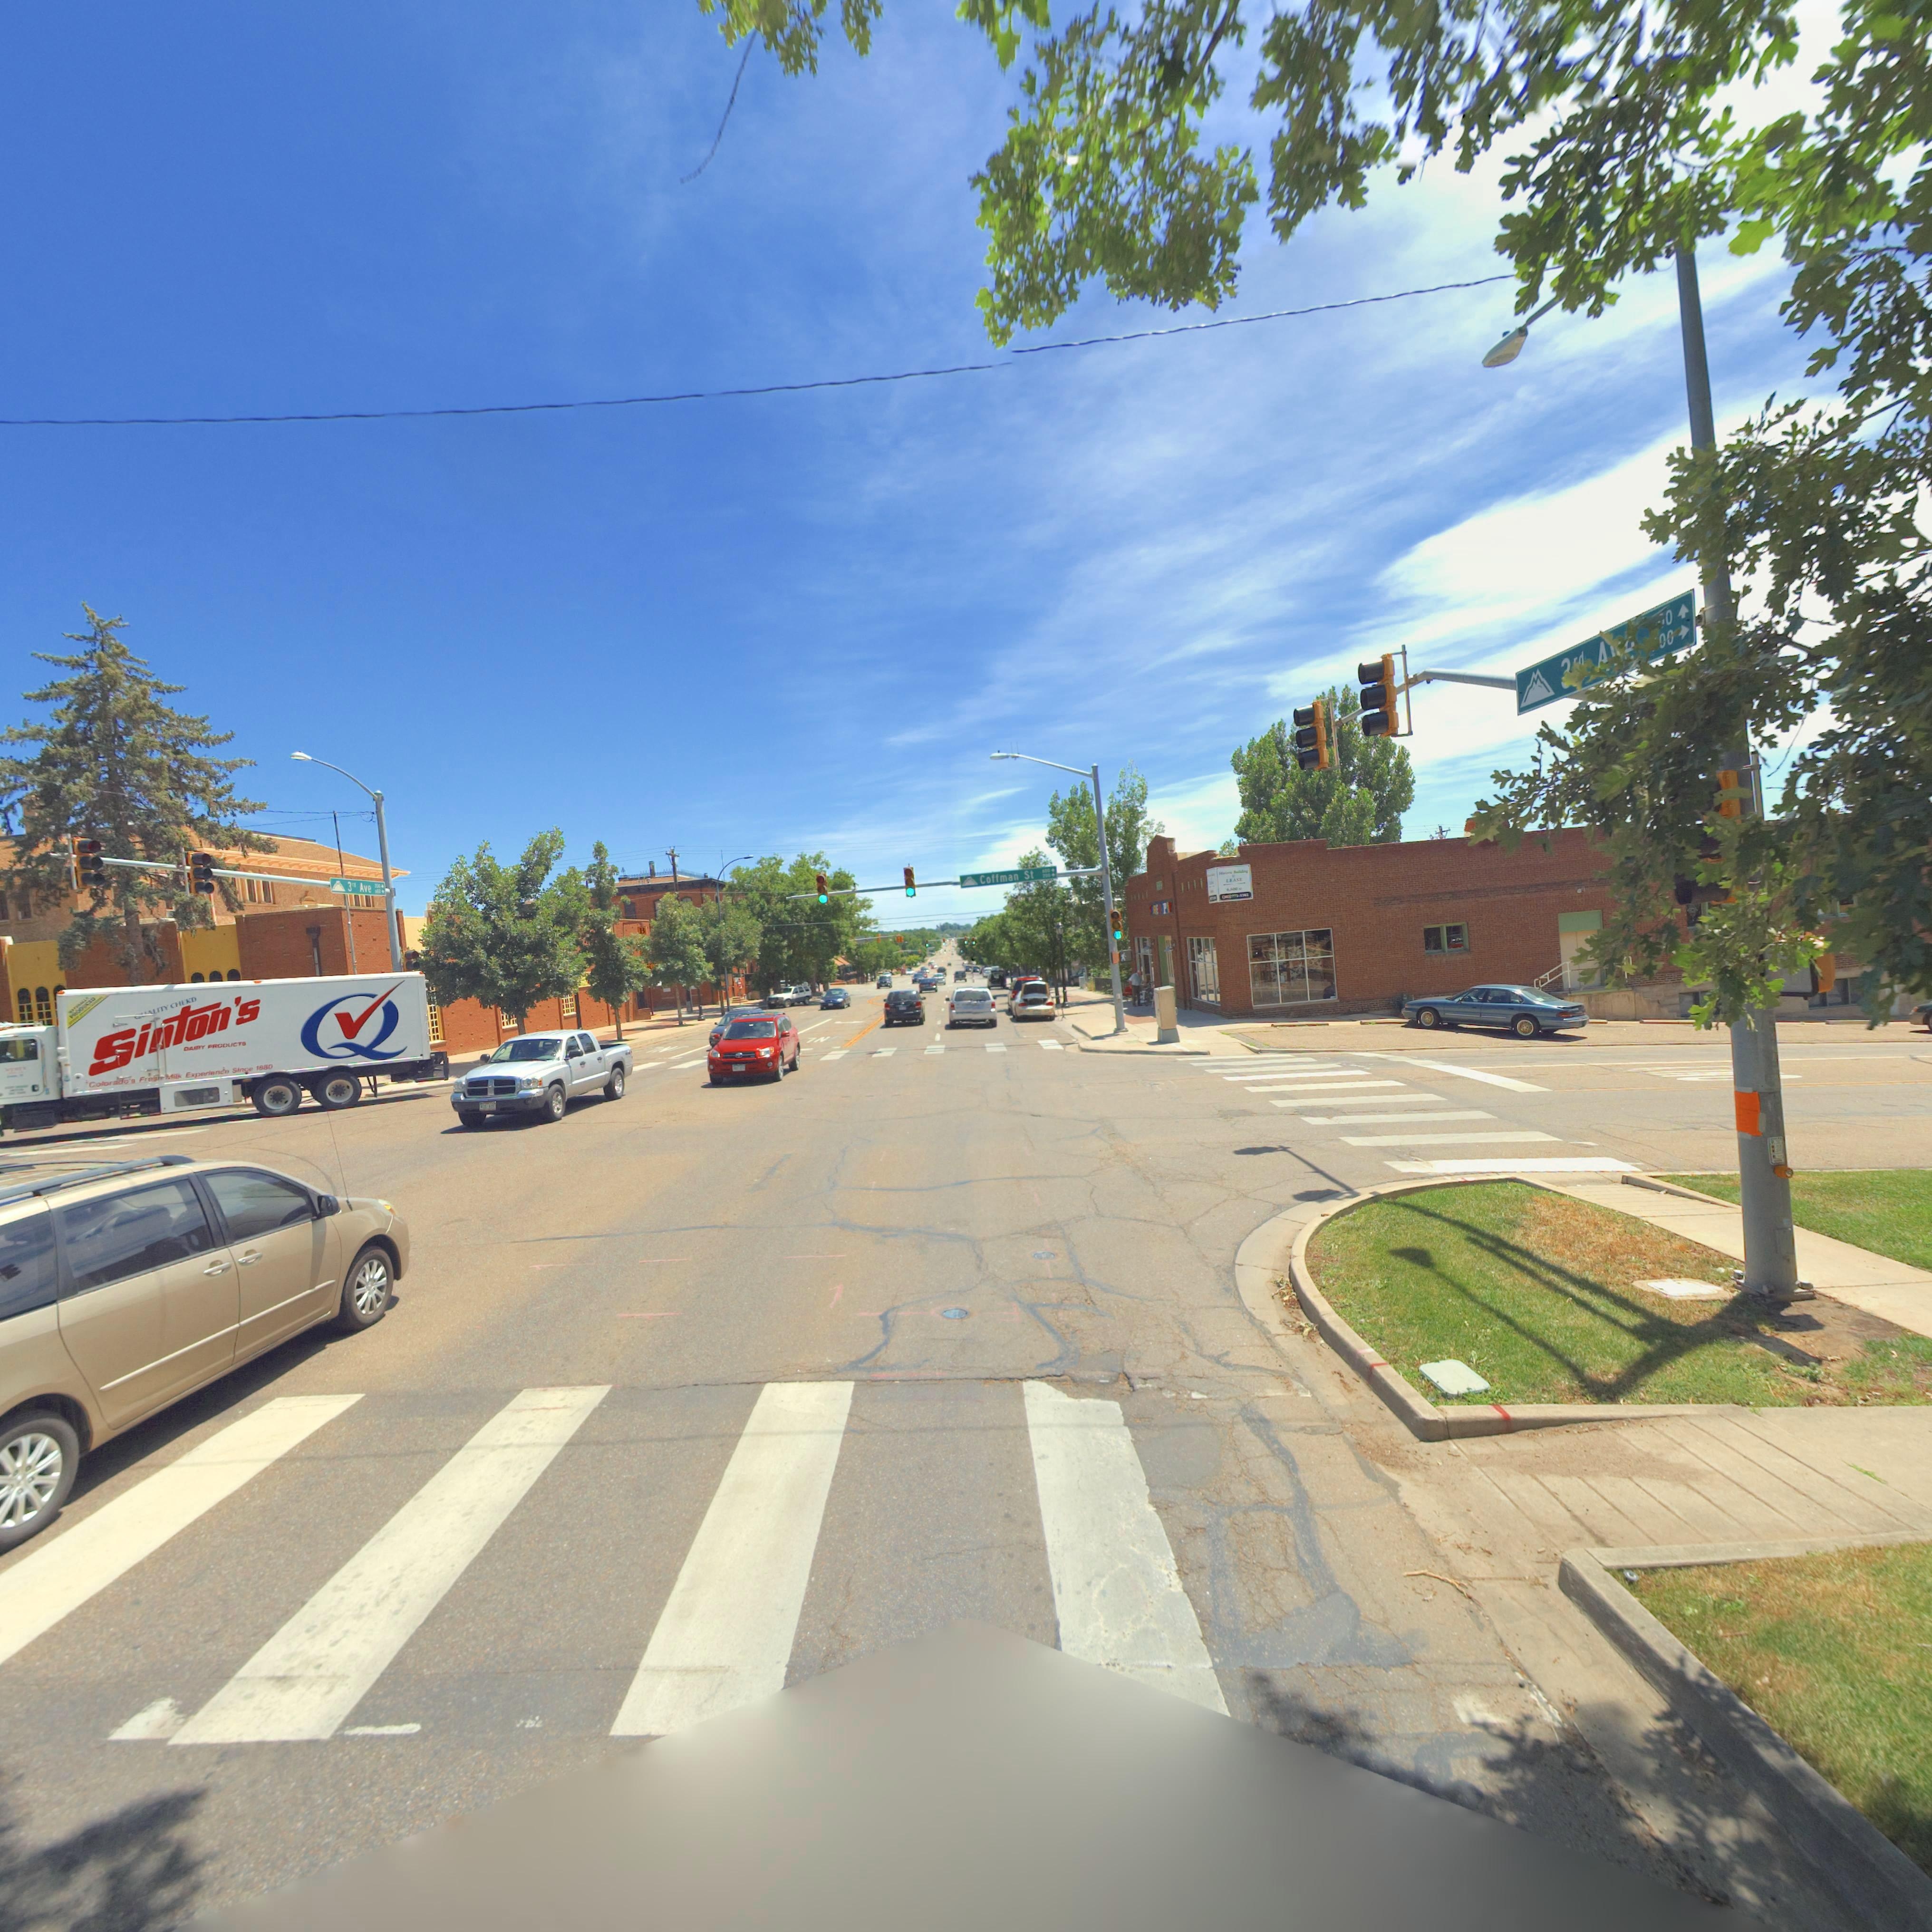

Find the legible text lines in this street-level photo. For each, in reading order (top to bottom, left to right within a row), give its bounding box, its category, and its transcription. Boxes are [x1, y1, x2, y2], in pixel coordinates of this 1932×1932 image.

[1658, 609, 1672, 628] StreetNumberRange: *0
[1658, 628, 1674, 649] StreetNumberRange: 00
[979, 869, 1034, 884] StreetName: Coffman St
[1042, 868, 1051, 873] StreetNumberRange: *00
[1042, 873, 1055, 878] StreetNumberRange: 700->
[347, 881, 371, 892] StreetName: 3** Ave
[374, 883, 381, 889] StreetNumberRange: *00
[374, 889, 385, 894] None: *00->
[1149, 901, 1172, 915] BusinessName: ***E* *P***
[638, 927, 645, 934] BusinessName: B